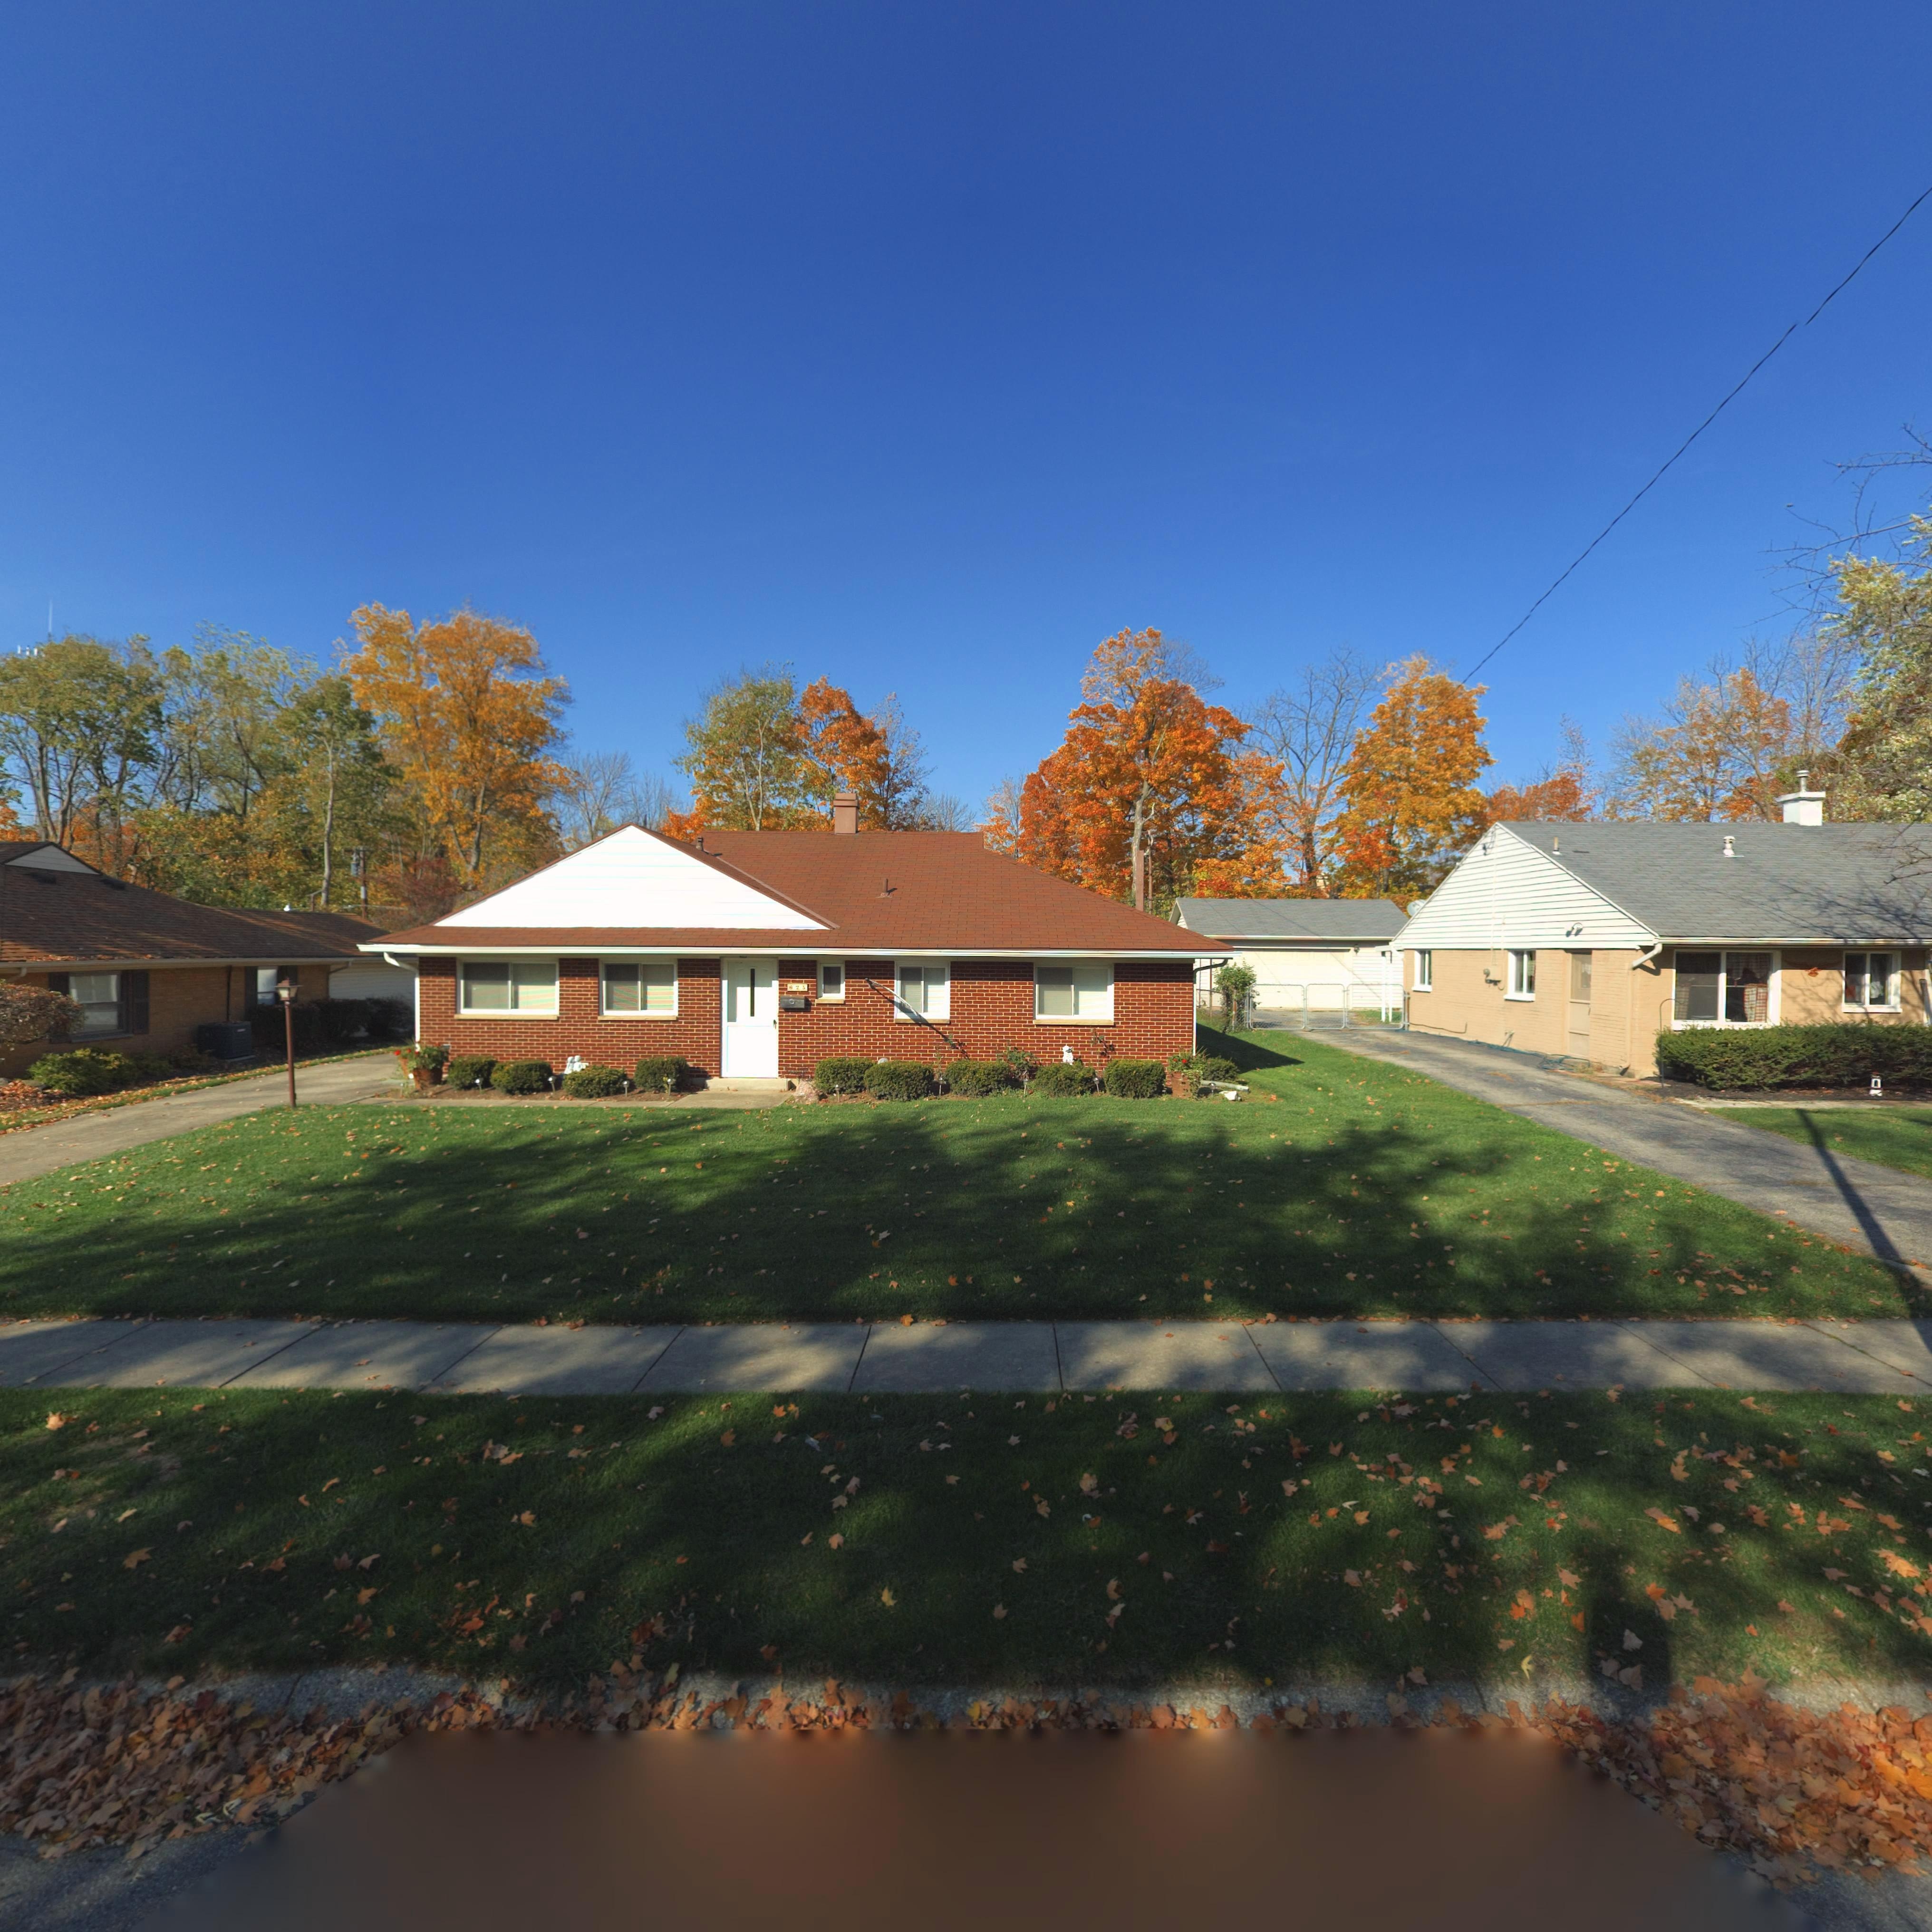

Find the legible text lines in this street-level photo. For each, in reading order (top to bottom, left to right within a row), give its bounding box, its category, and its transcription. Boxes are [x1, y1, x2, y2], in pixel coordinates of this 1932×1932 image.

[789, 985, 806, 990] StreetNumber: 62*